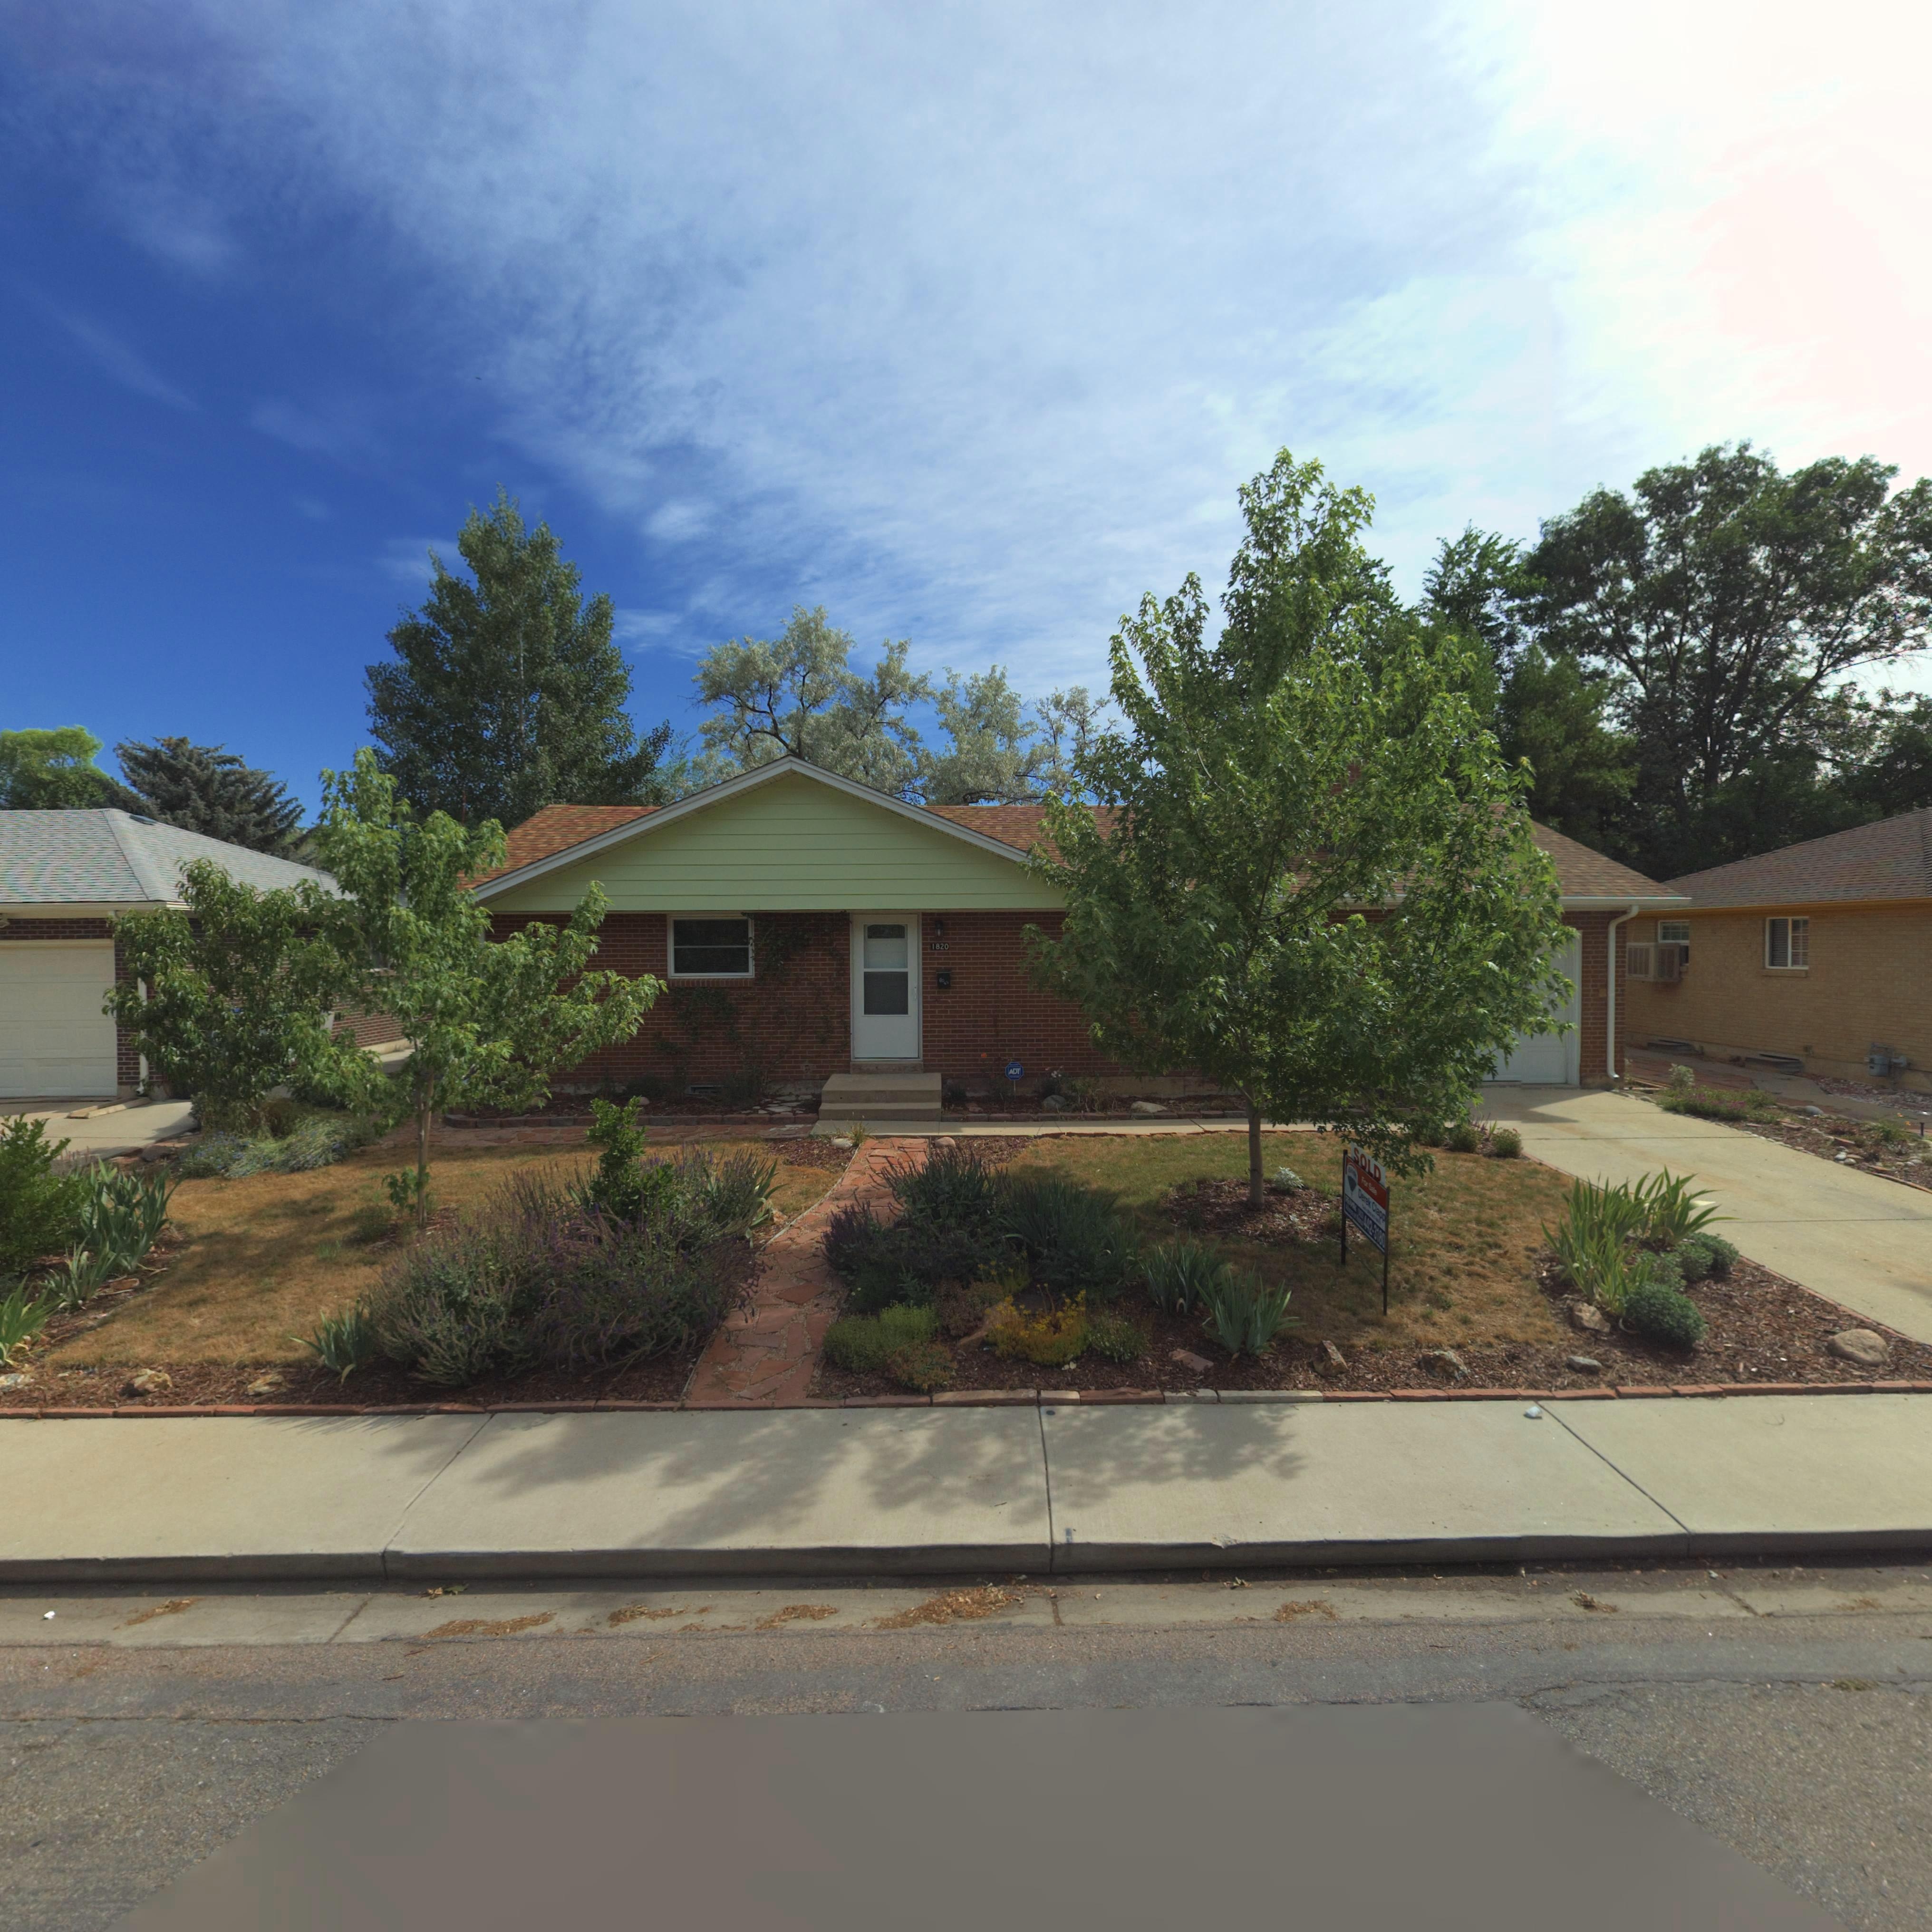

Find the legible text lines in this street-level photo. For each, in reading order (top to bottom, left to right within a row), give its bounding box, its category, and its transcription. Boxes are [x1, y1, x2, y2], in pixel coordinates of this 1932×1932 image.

[932, 943, 948, 949] StreetNumber: 1820